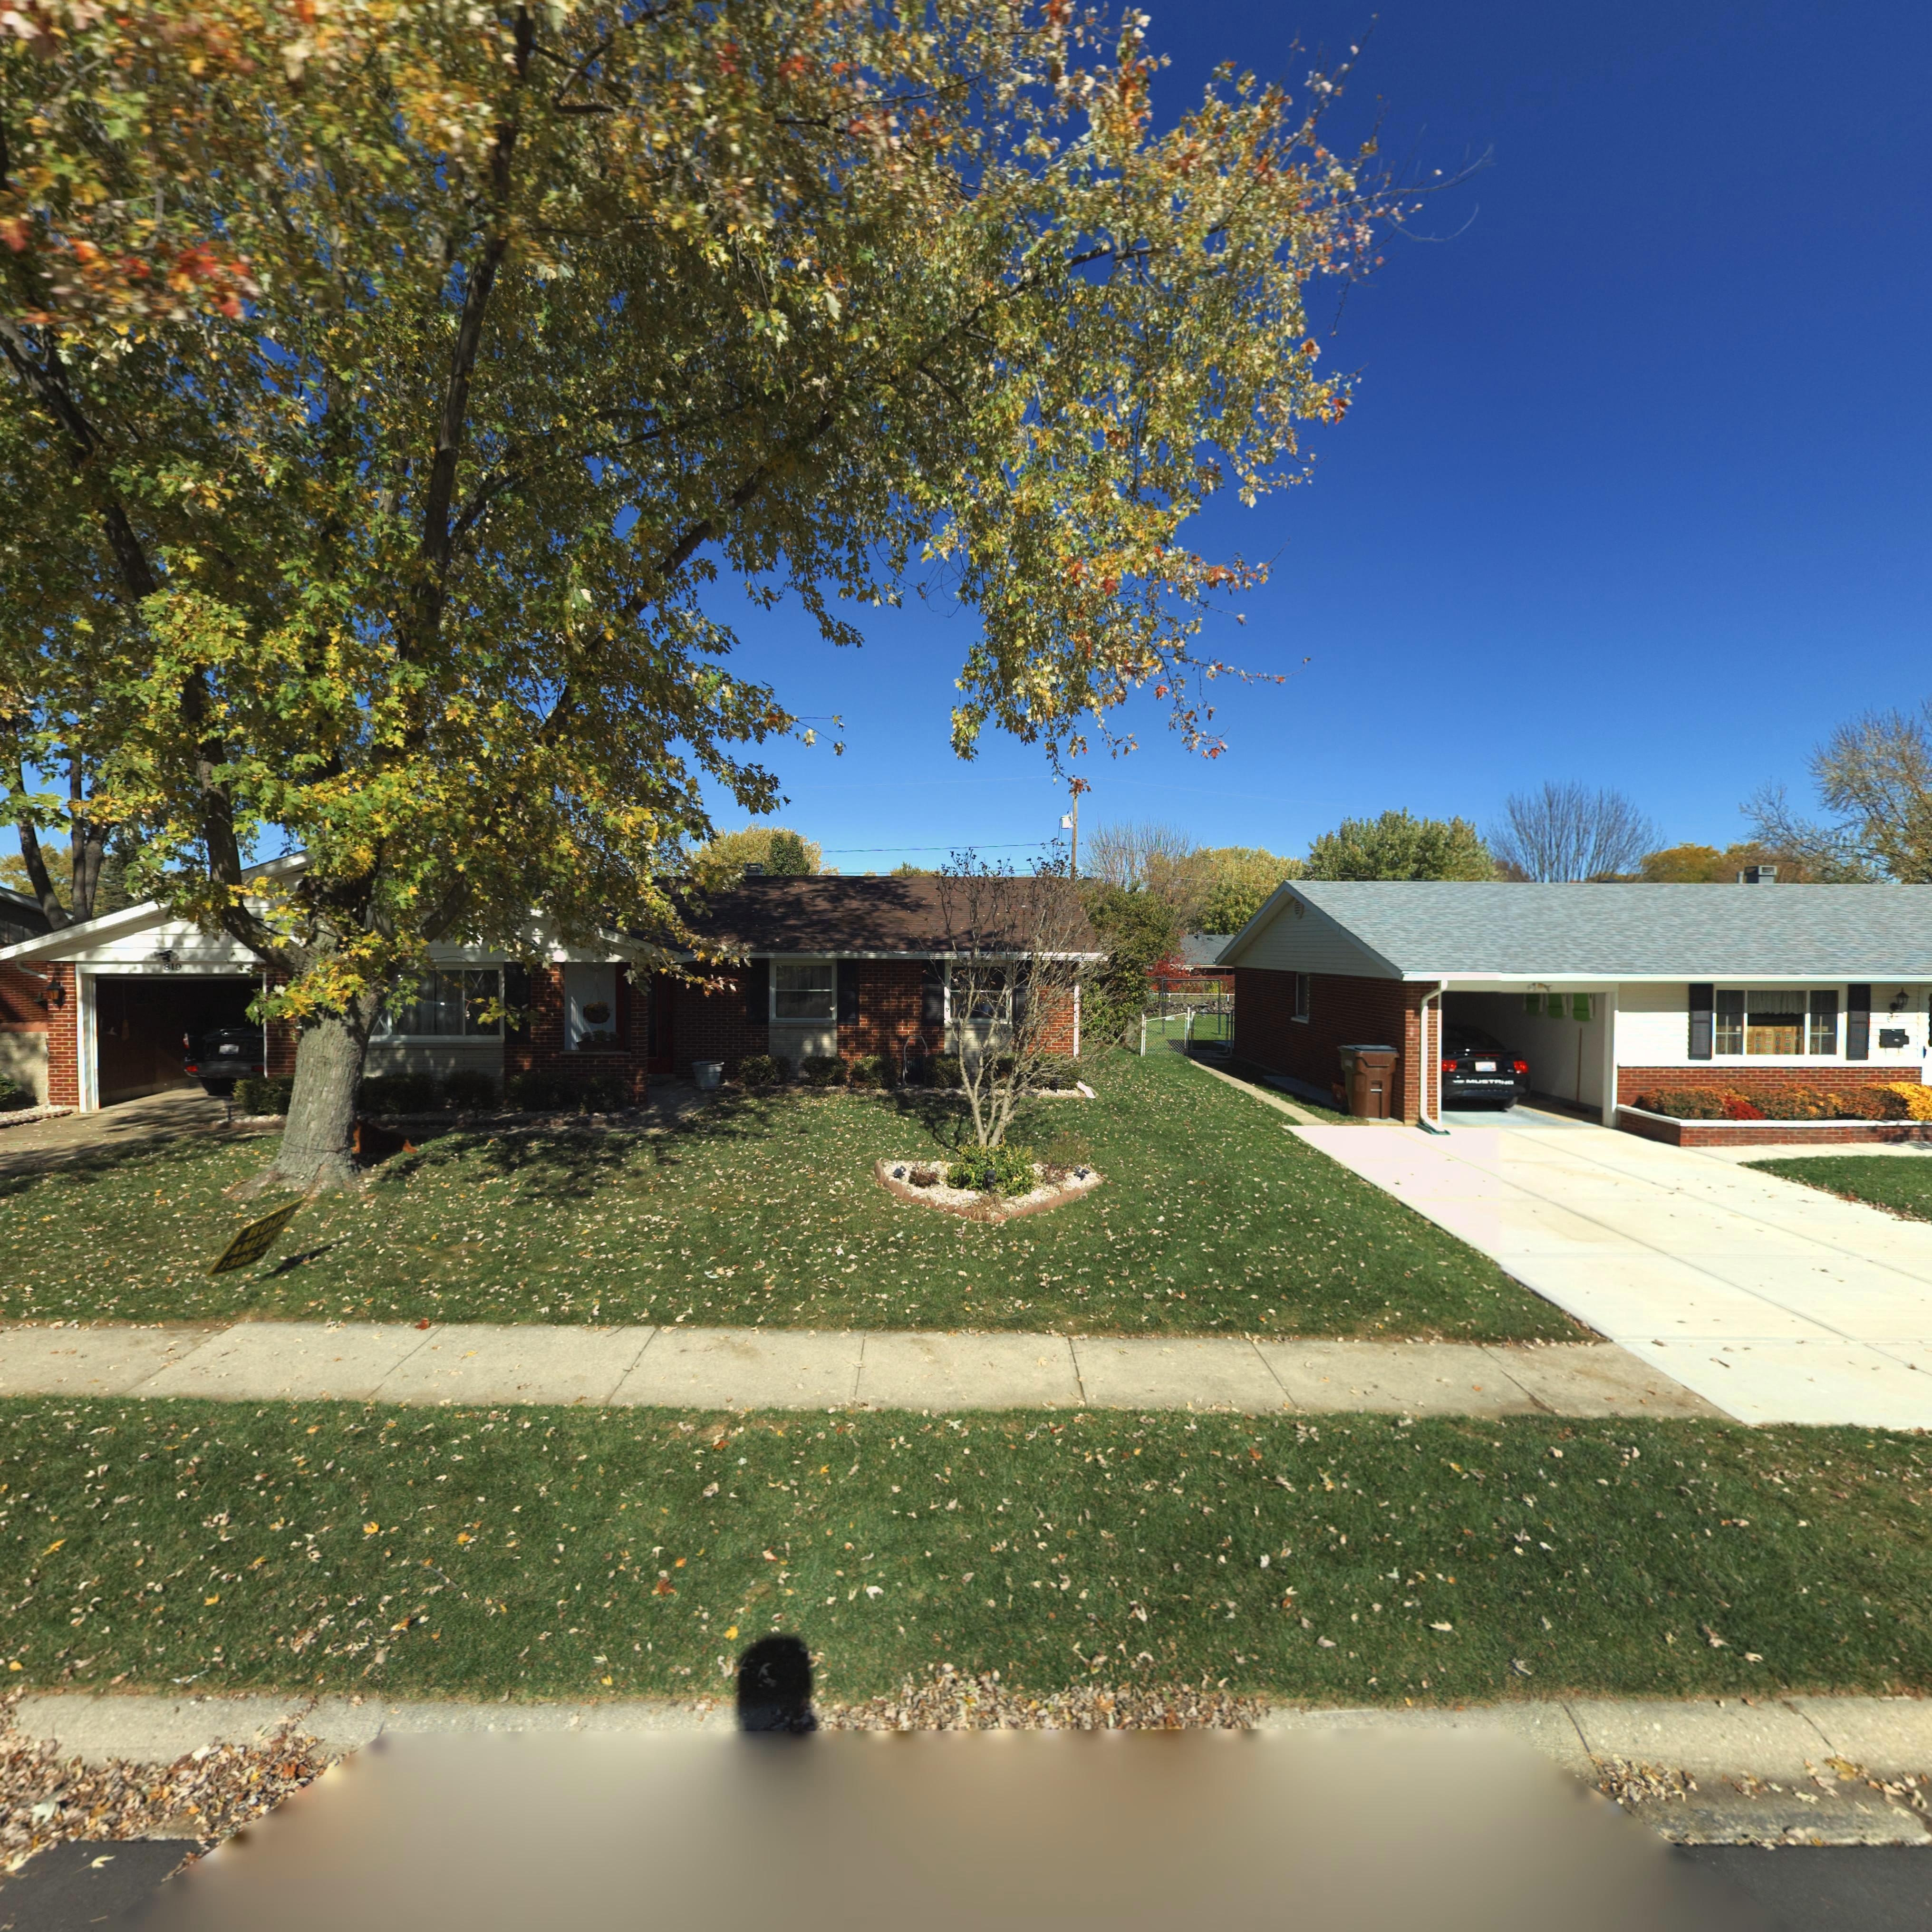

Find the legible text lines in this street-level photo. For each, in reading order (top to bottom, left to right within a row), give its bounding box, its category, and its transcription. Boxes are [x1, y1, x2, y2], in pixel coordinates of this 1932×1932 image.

[163, 963, 182, 970] StreetNumber: 819